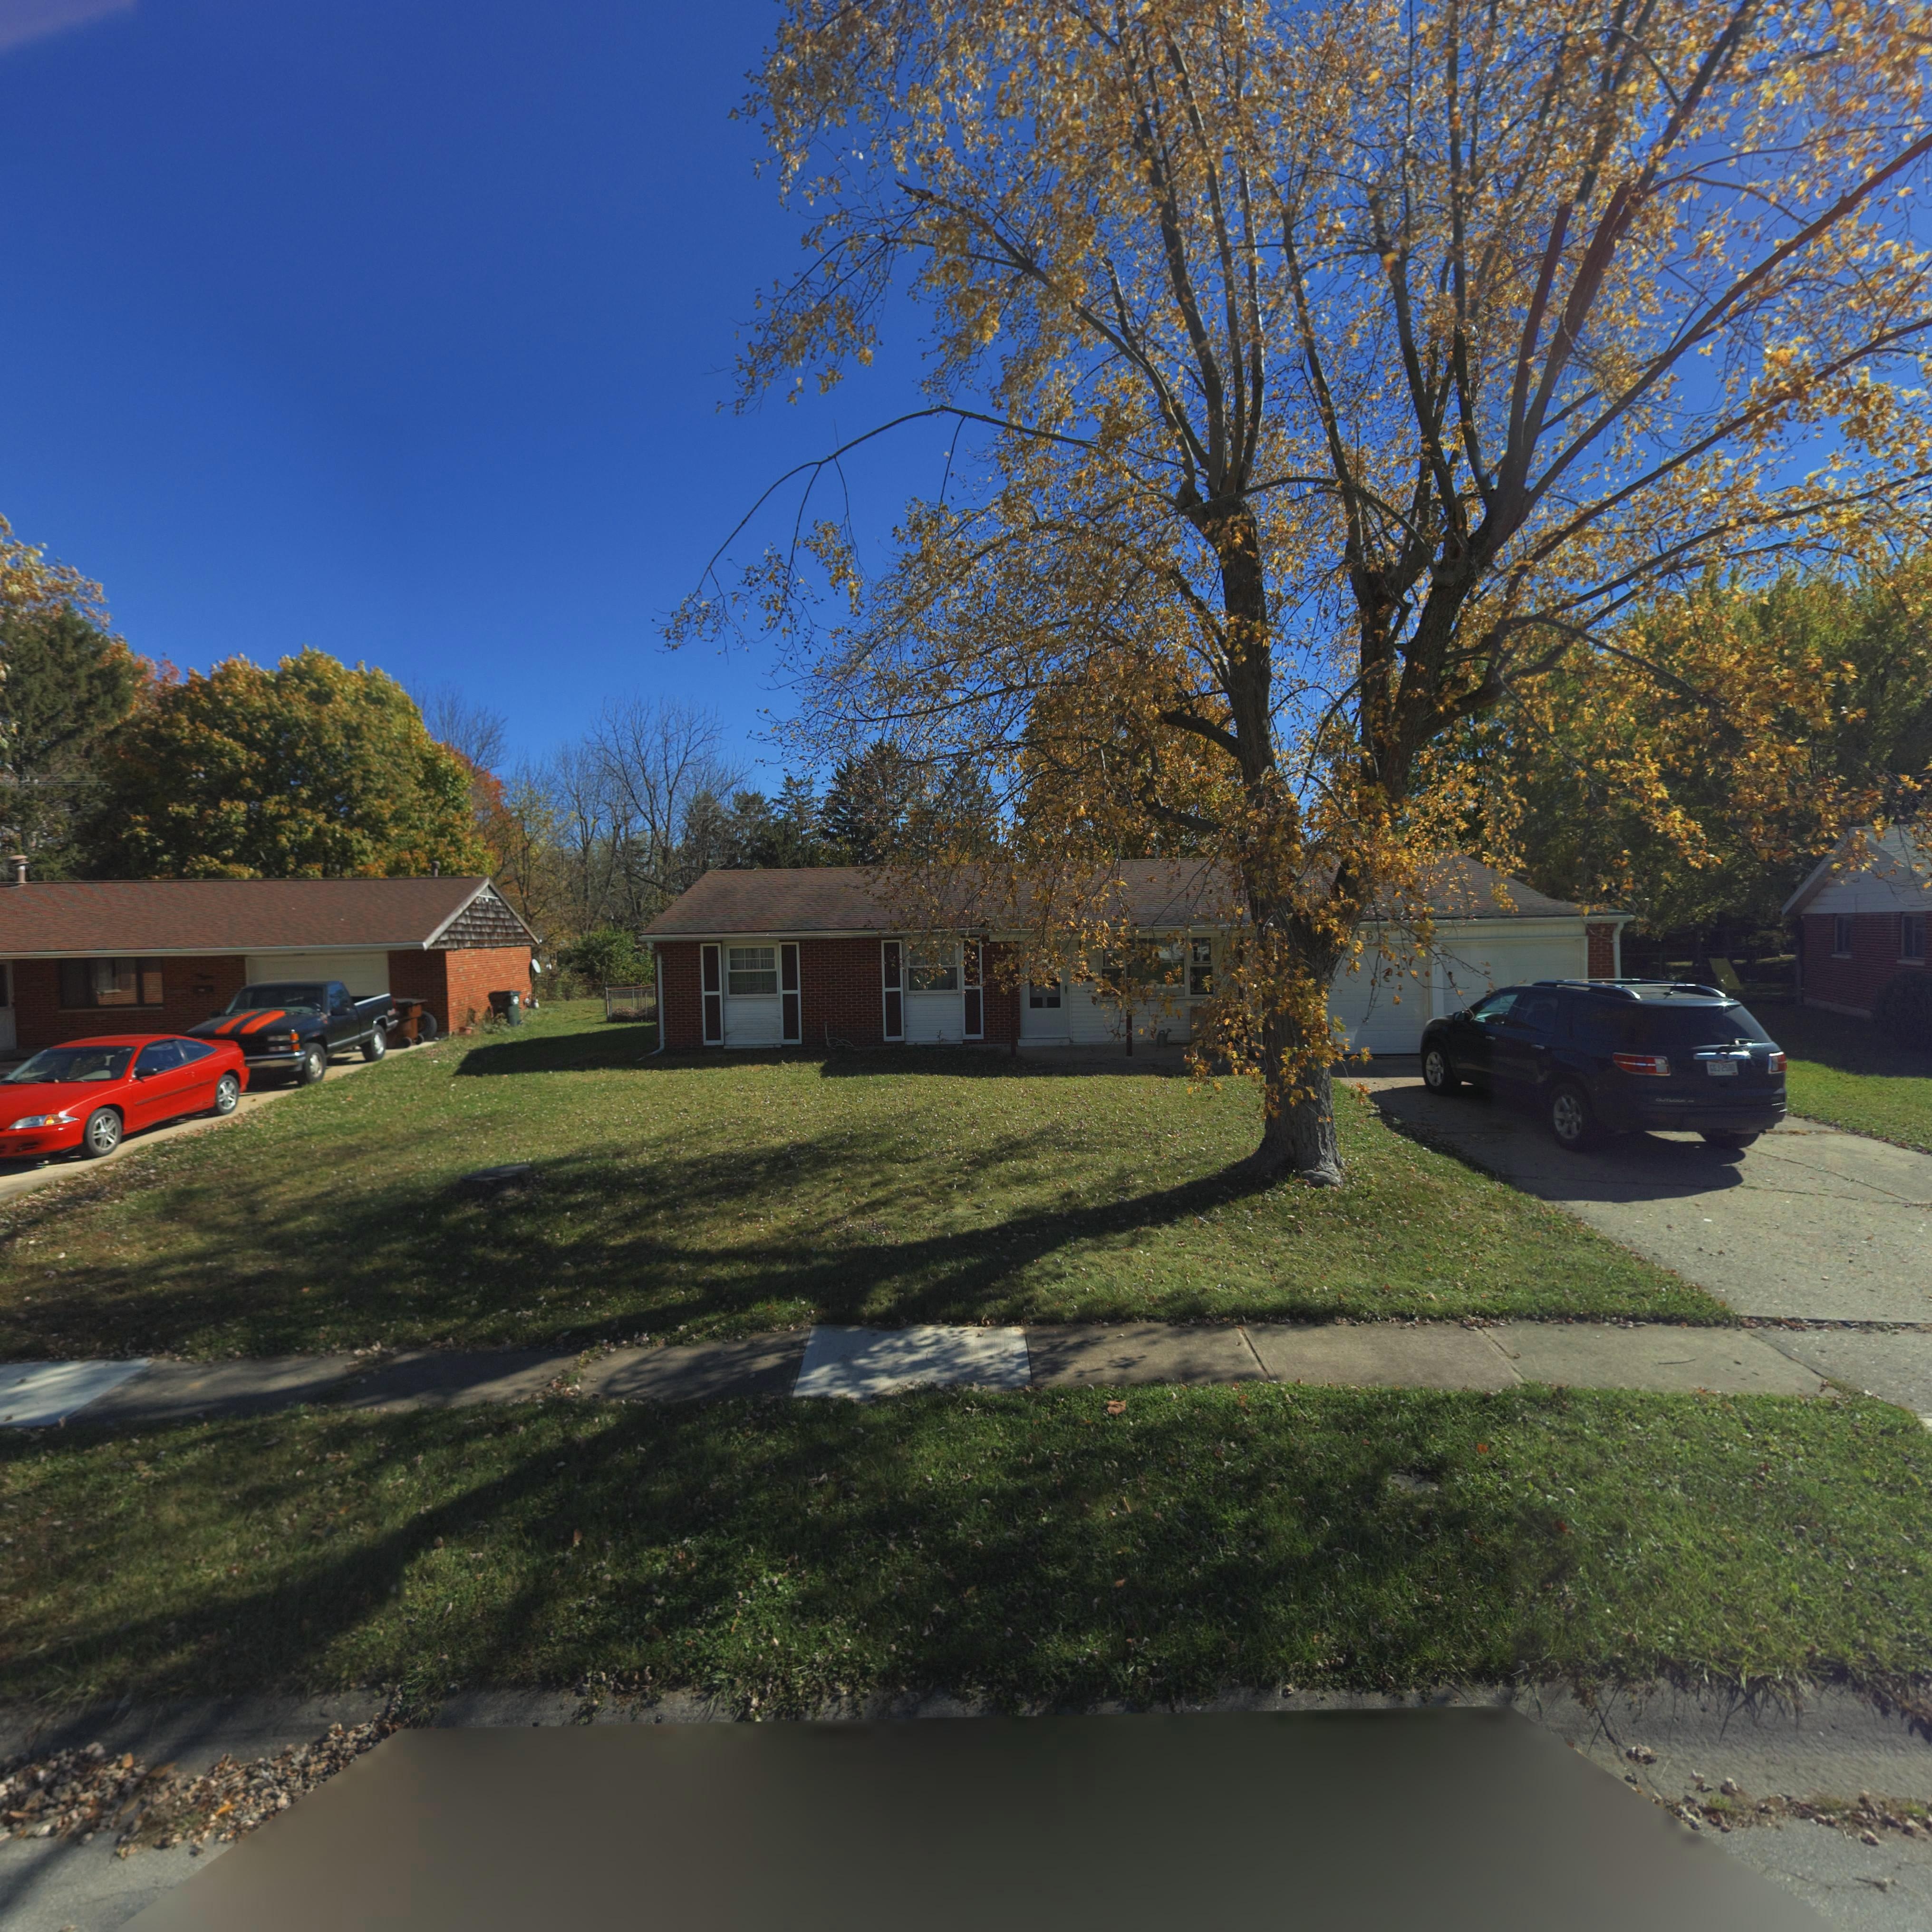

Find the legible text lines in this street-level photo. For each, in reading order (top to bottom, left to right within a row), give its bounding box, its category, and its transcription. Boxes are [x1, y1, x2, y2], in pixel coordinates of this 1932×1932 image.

[1355, 929, 1375, 942] StreetNumber: 16
[1709, 1063, 1737, 1072] None: GGJ*2580
[1655, 1097, 1687, 1103] None: OUTLOOK